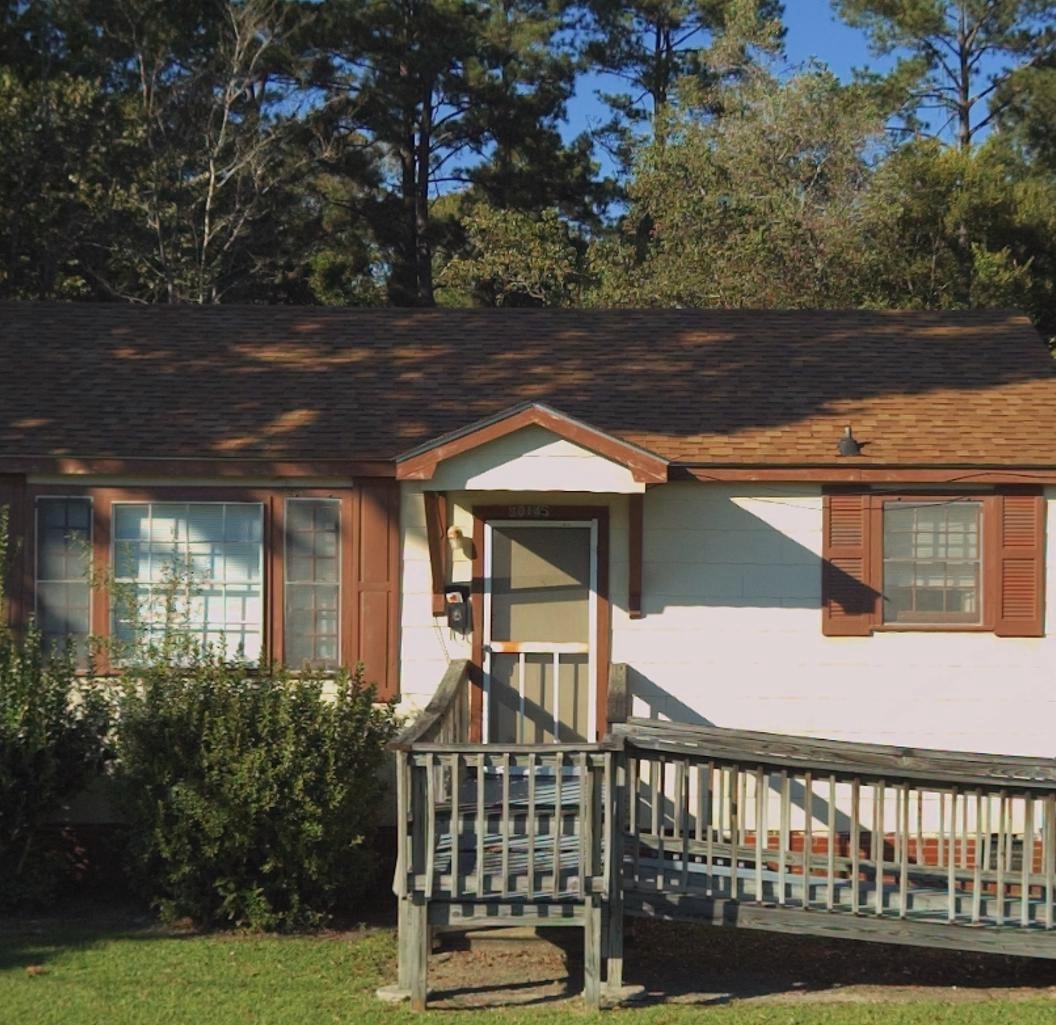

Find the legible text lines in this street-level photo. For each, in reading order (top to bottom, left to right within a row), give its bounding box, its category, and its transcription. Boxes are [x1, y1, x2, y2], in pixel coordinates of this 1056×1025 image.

[507, 504, 549, 519] StreetNumber: *0145